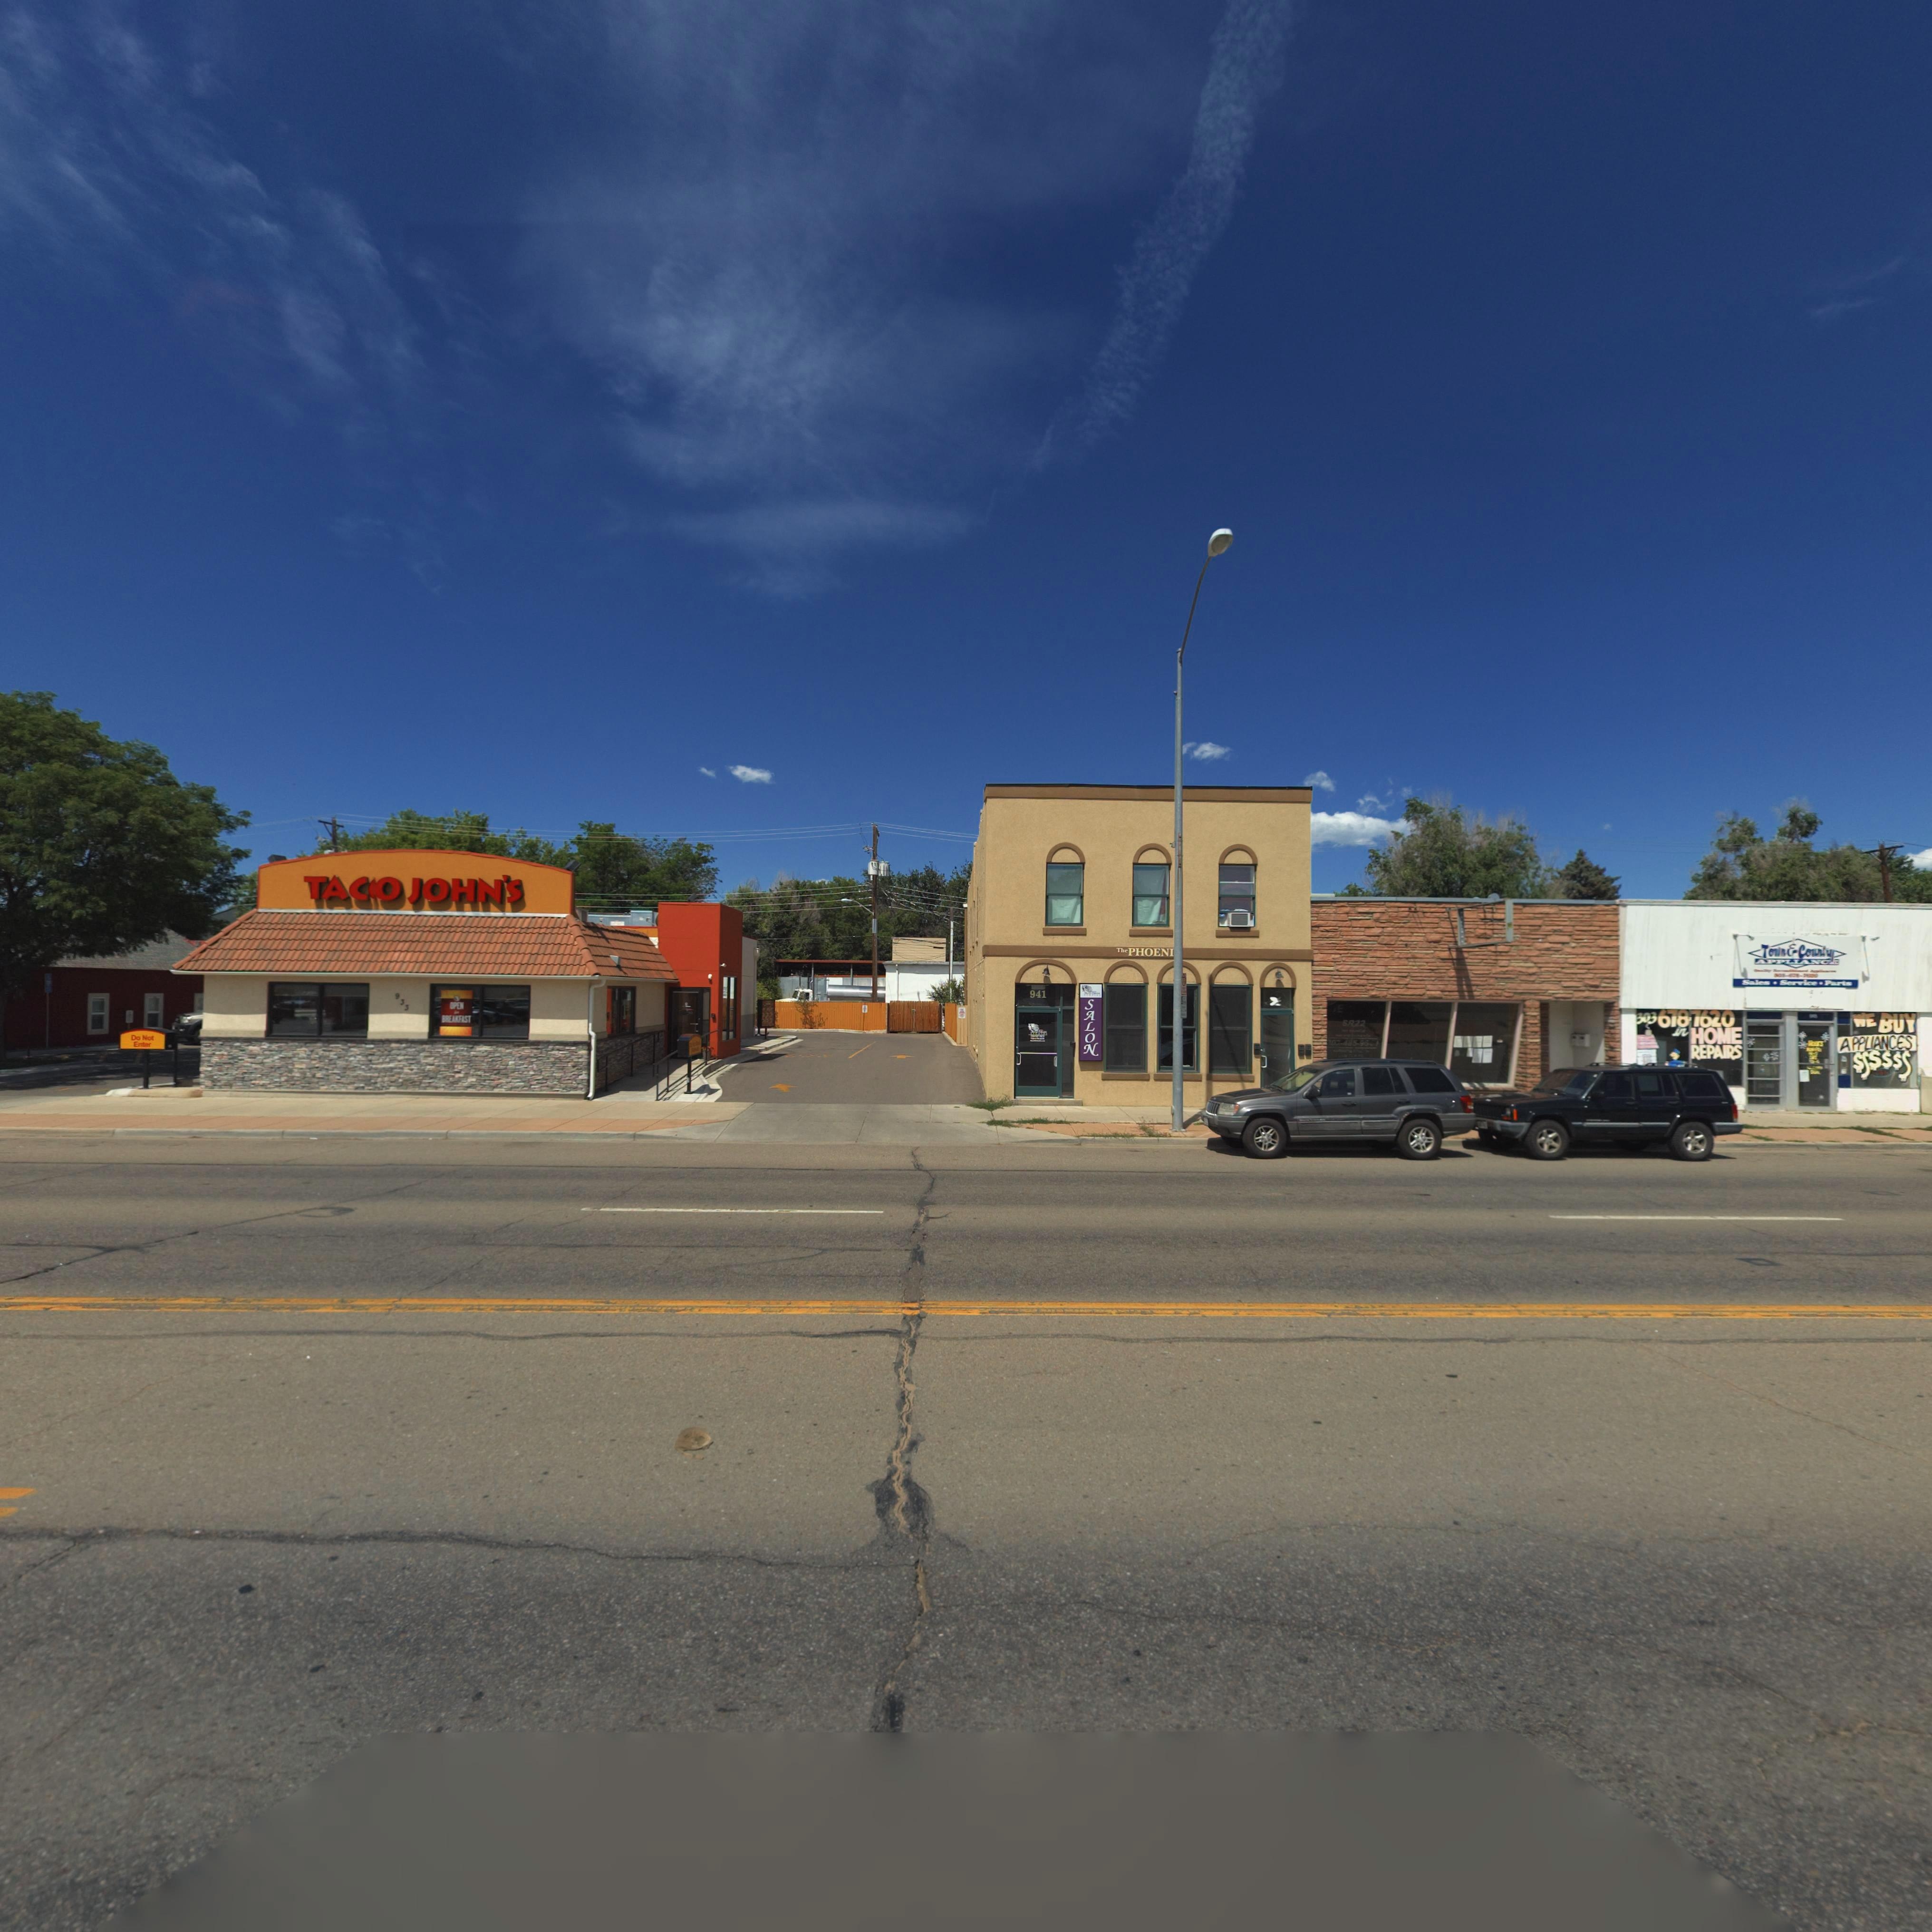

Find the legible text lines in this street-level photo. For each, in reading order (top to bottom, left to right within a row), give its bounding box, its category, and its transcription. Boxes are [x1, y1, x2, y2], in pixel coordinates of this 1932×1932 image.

[303, 873, 524, 905] BusinessName: TACO JOHN'S
[1116, 947, 1173, 956] BusinessName: The PHOENI
[1760, 943, 1836, 959] BusinessName: Town & Country
[1754, 959, 1838, 965] BusinessName: APPLIANCE
[395, 992, 409, 1011] StreetNumber: 933
[1029, 990, 1046, 998] StreetNumber: 941